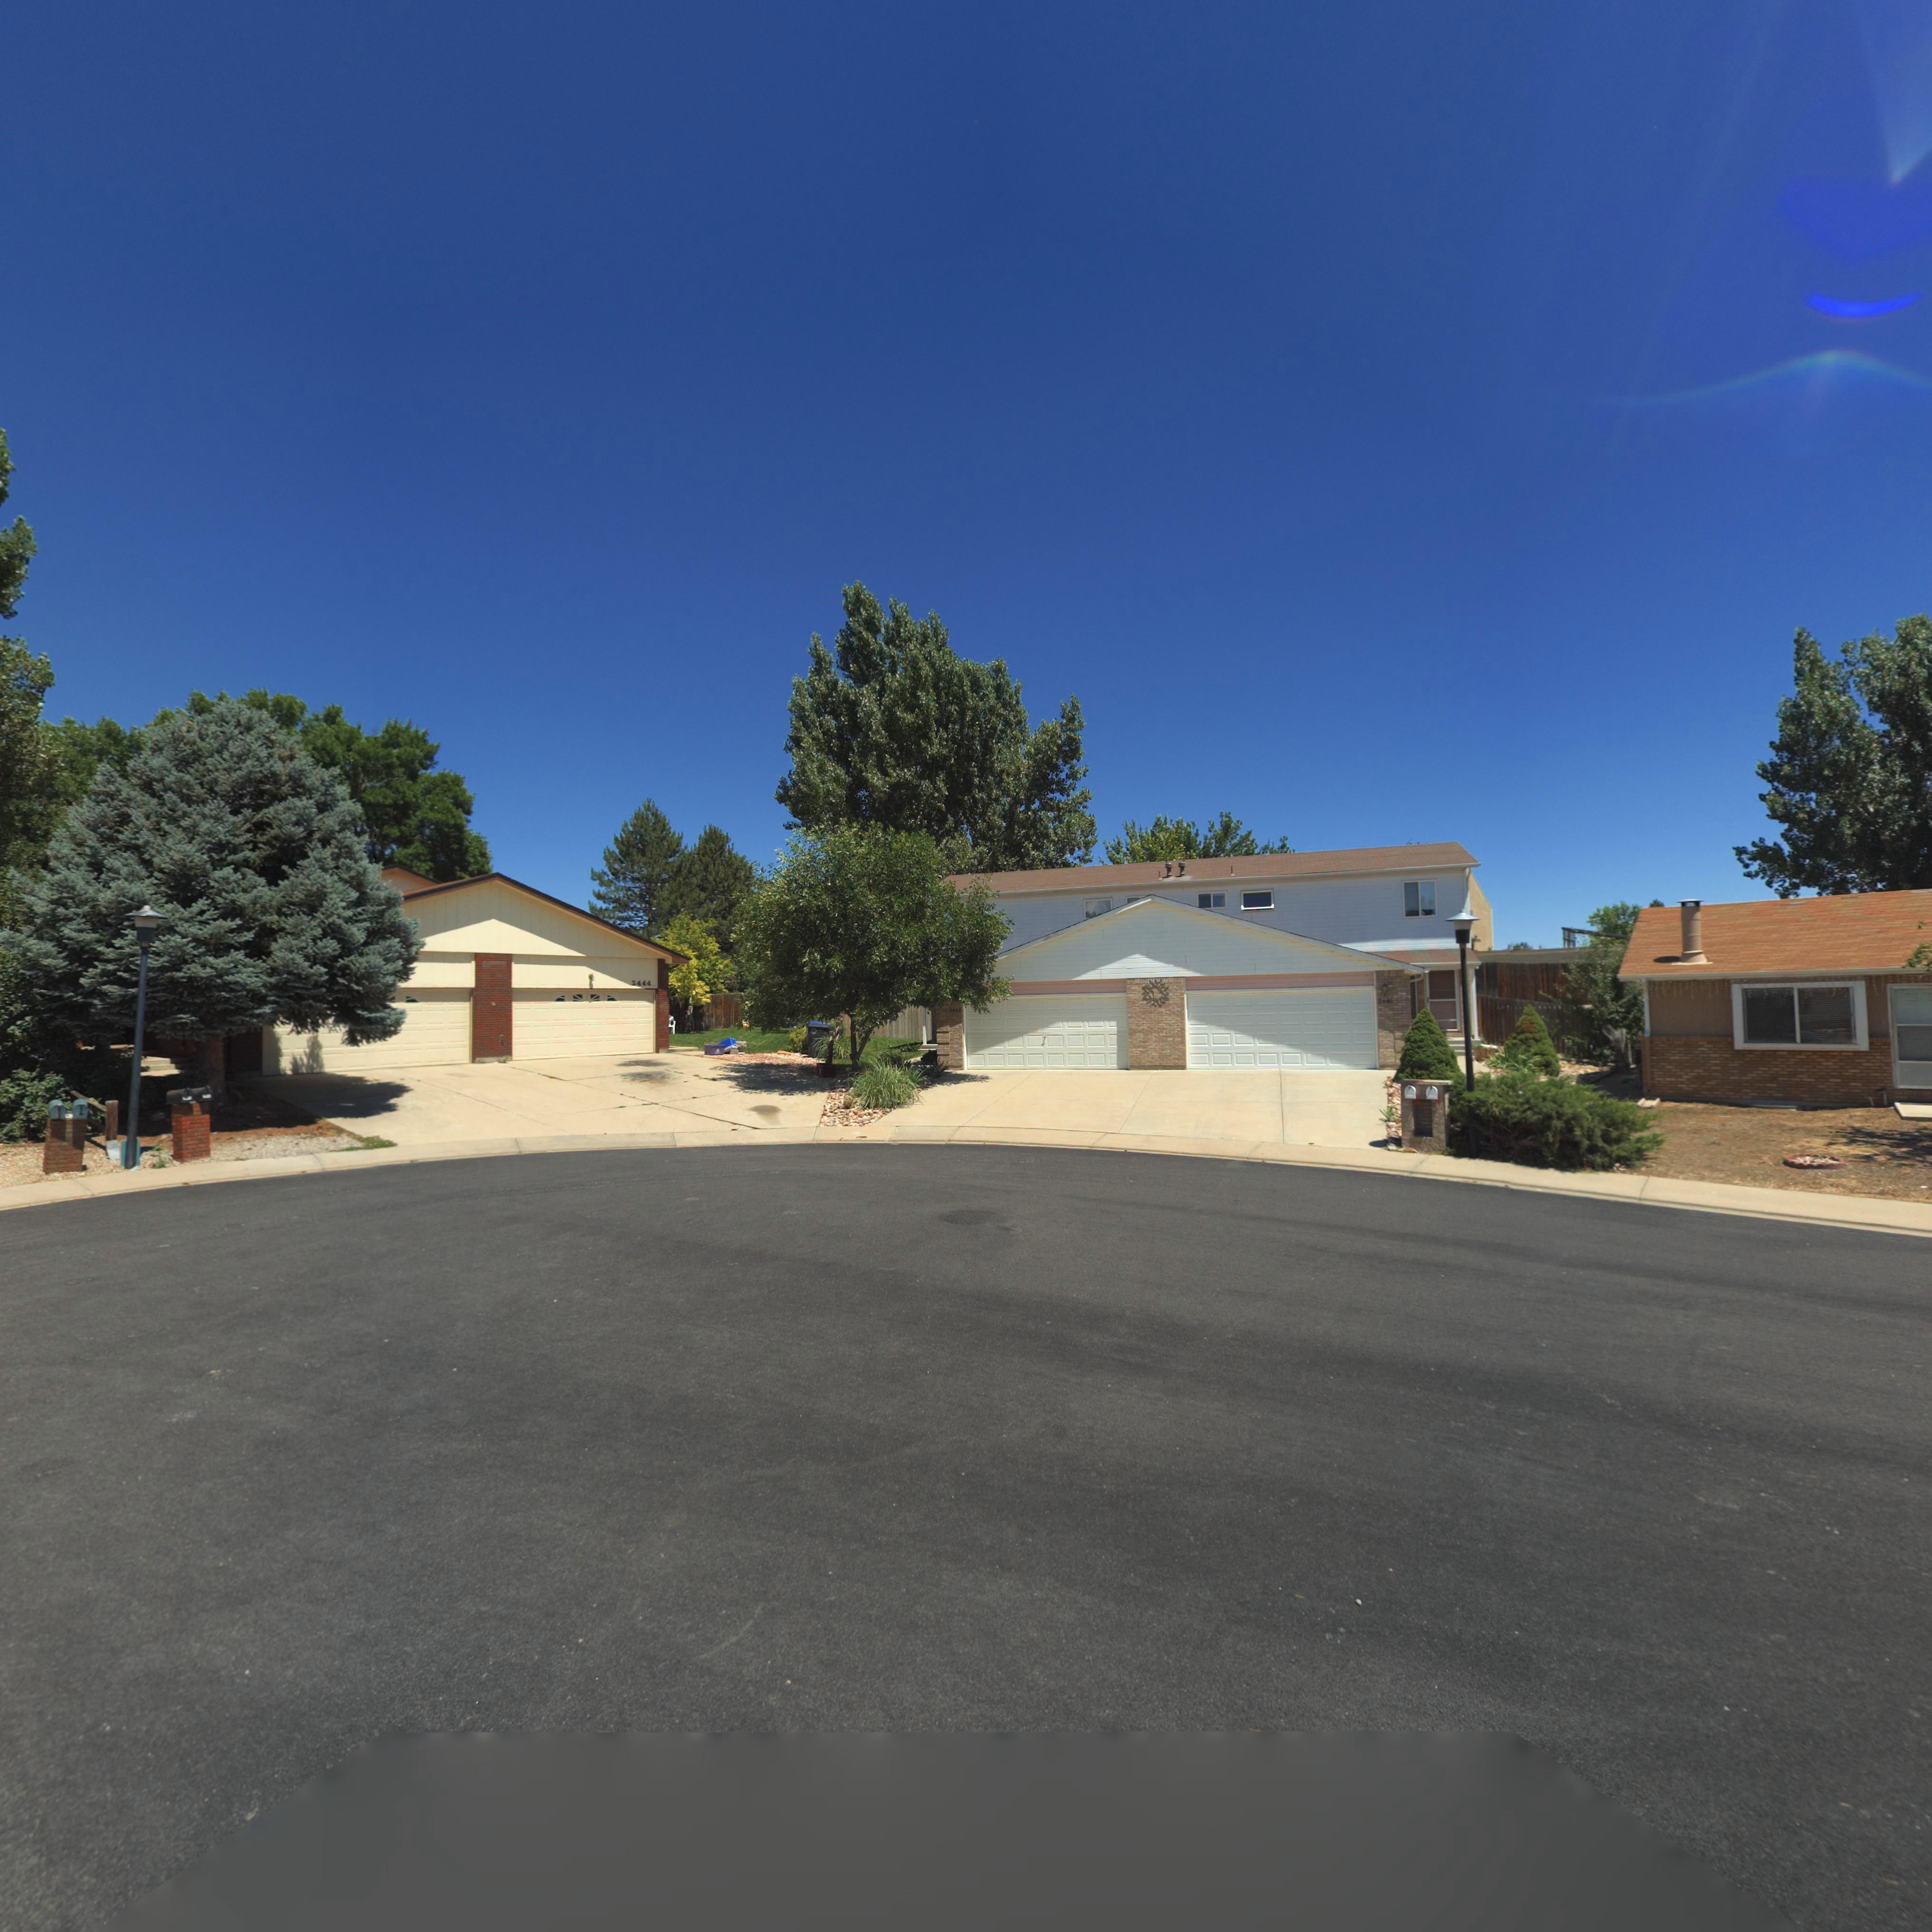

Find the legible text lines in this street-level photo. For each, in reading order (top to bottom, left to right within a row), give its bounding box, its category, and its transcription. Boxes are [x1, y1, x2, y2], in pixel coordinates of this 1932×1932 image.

[631, 980, 650, 985] StreetNumber: 2444
[1378, 998, 1392, 1004] StreetNumber: 2440
[949, 1007, 961, 1012] StreetNumber: 2442